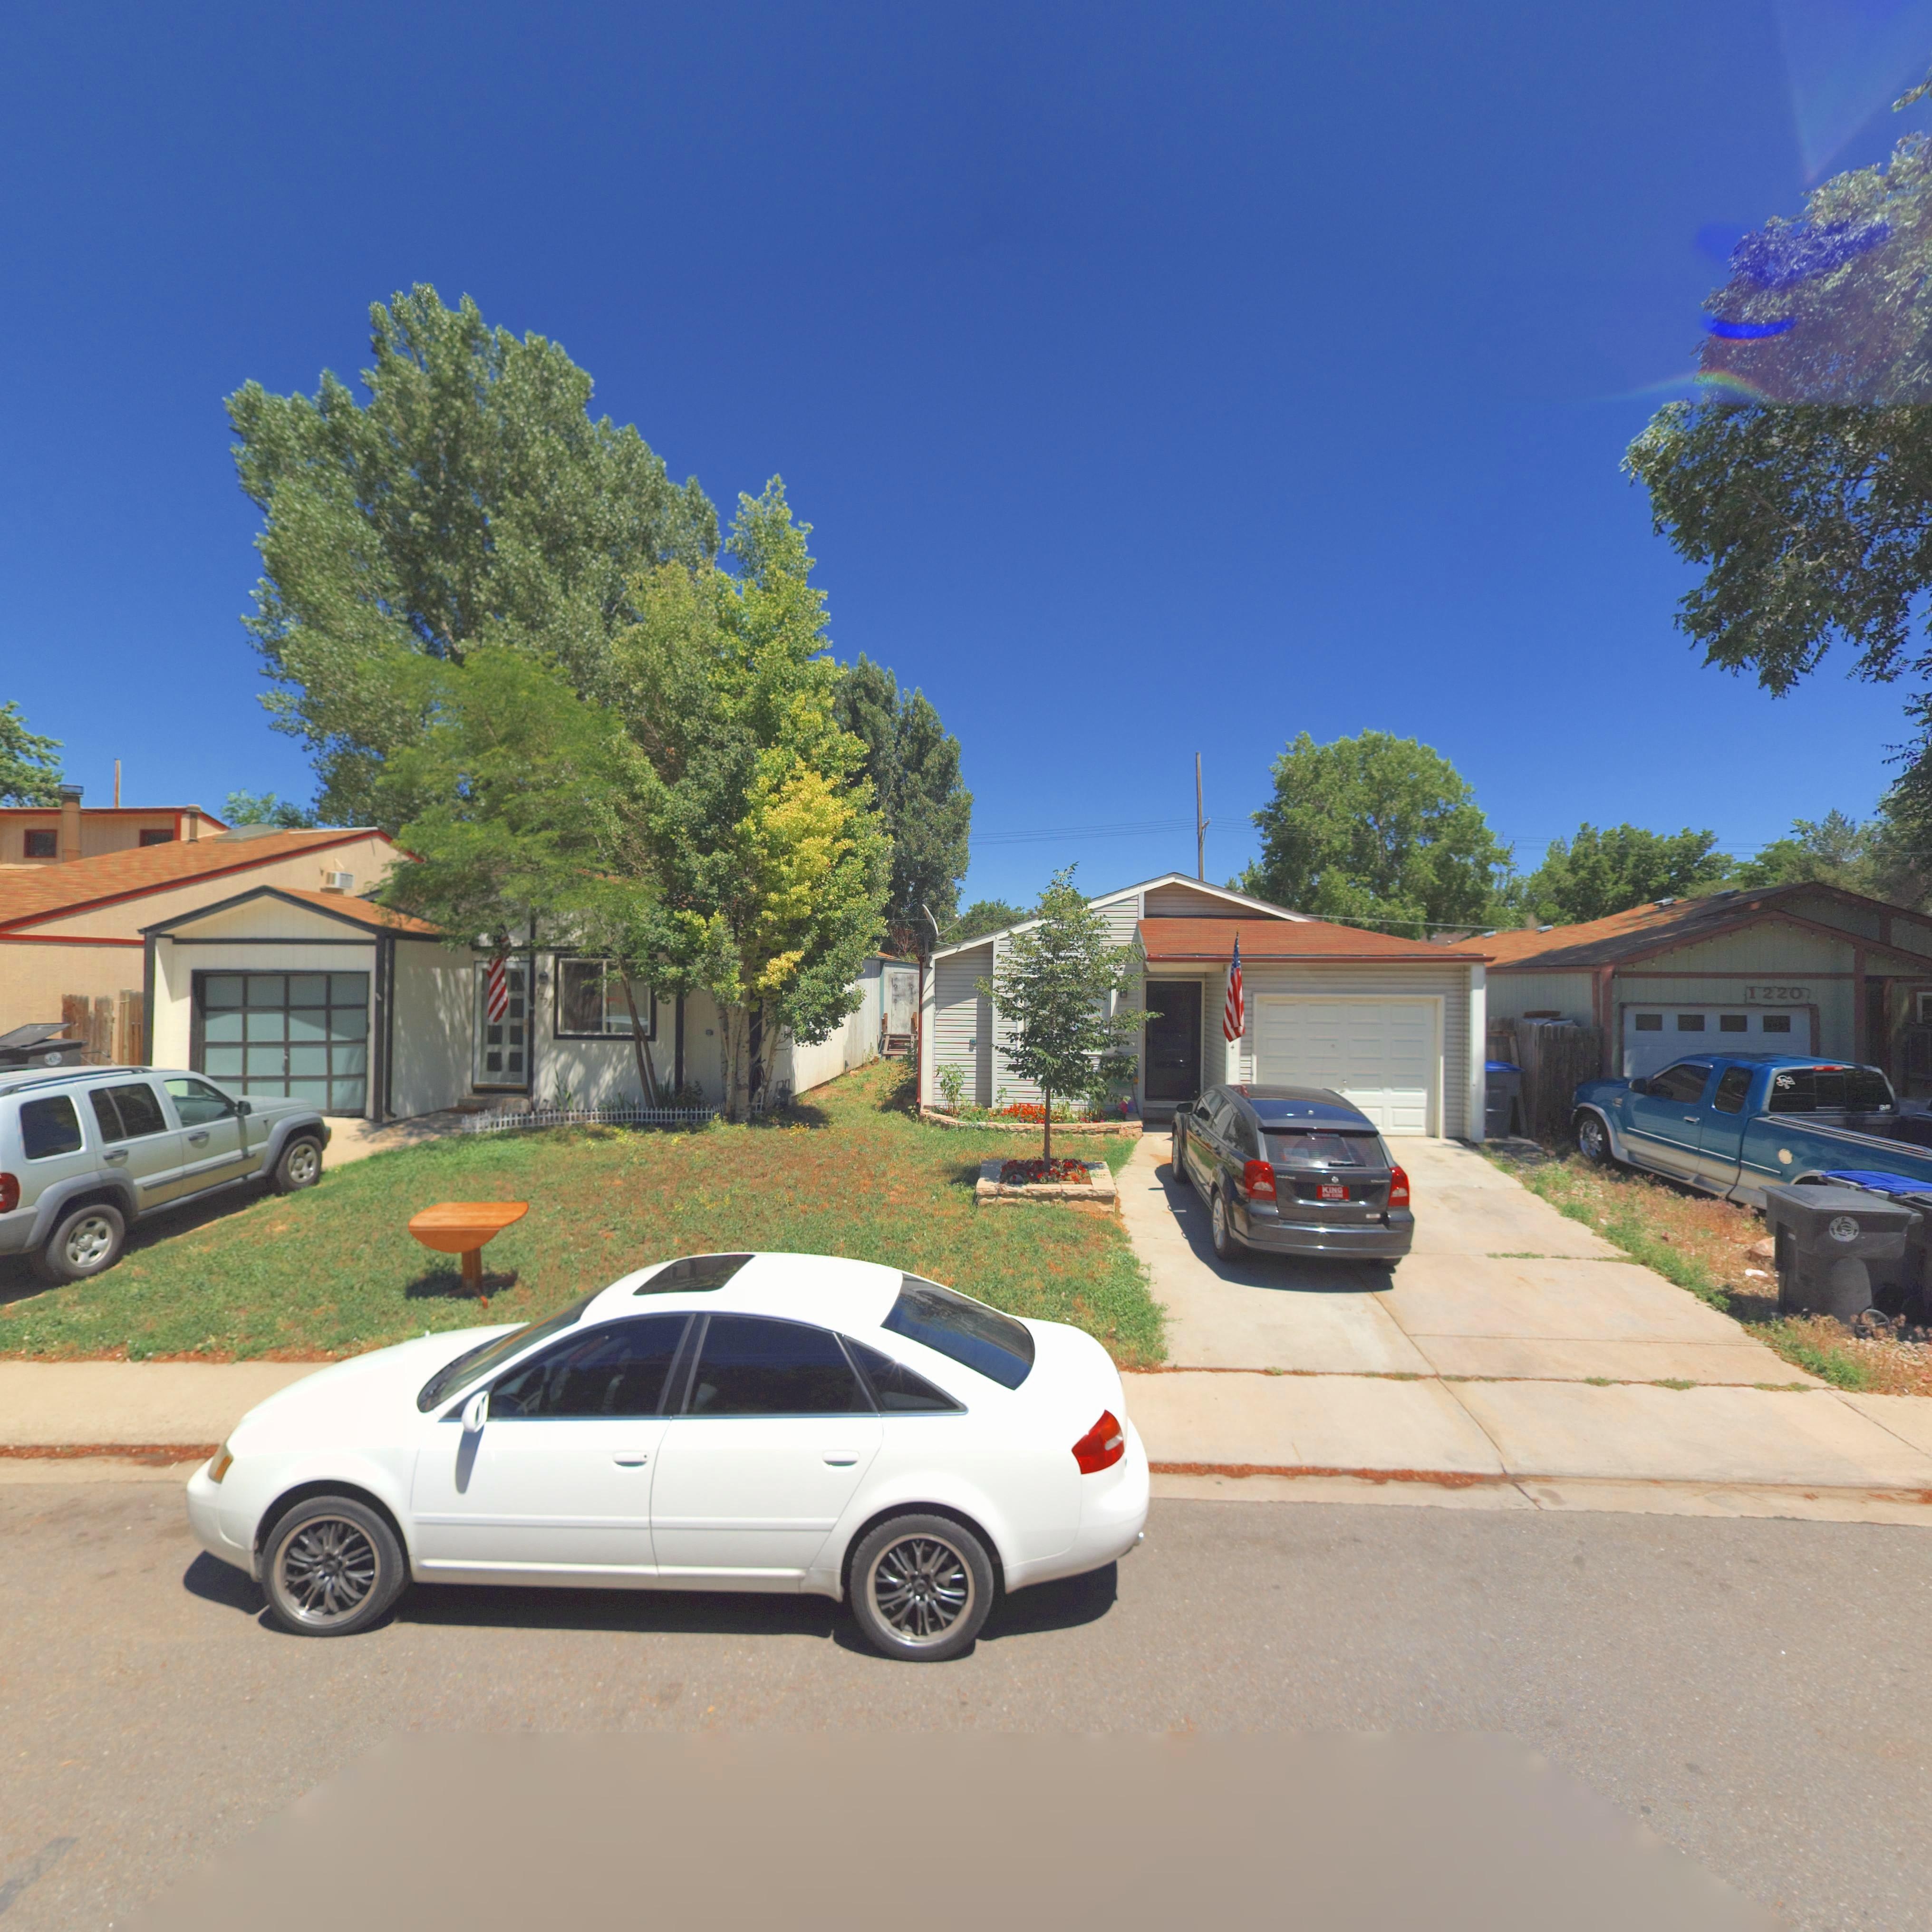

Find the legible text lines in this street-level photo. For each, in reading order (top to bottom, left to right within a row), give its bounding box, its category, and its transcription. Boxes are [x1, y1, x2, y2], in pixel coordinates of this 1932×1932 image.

[536, 987, 553, 1009] StreetNumber: 1228
[1747, 986, 1803, 999] StreetNumber: 1220
[1229, 1043, 1235, 1050] StreetNumber: 4